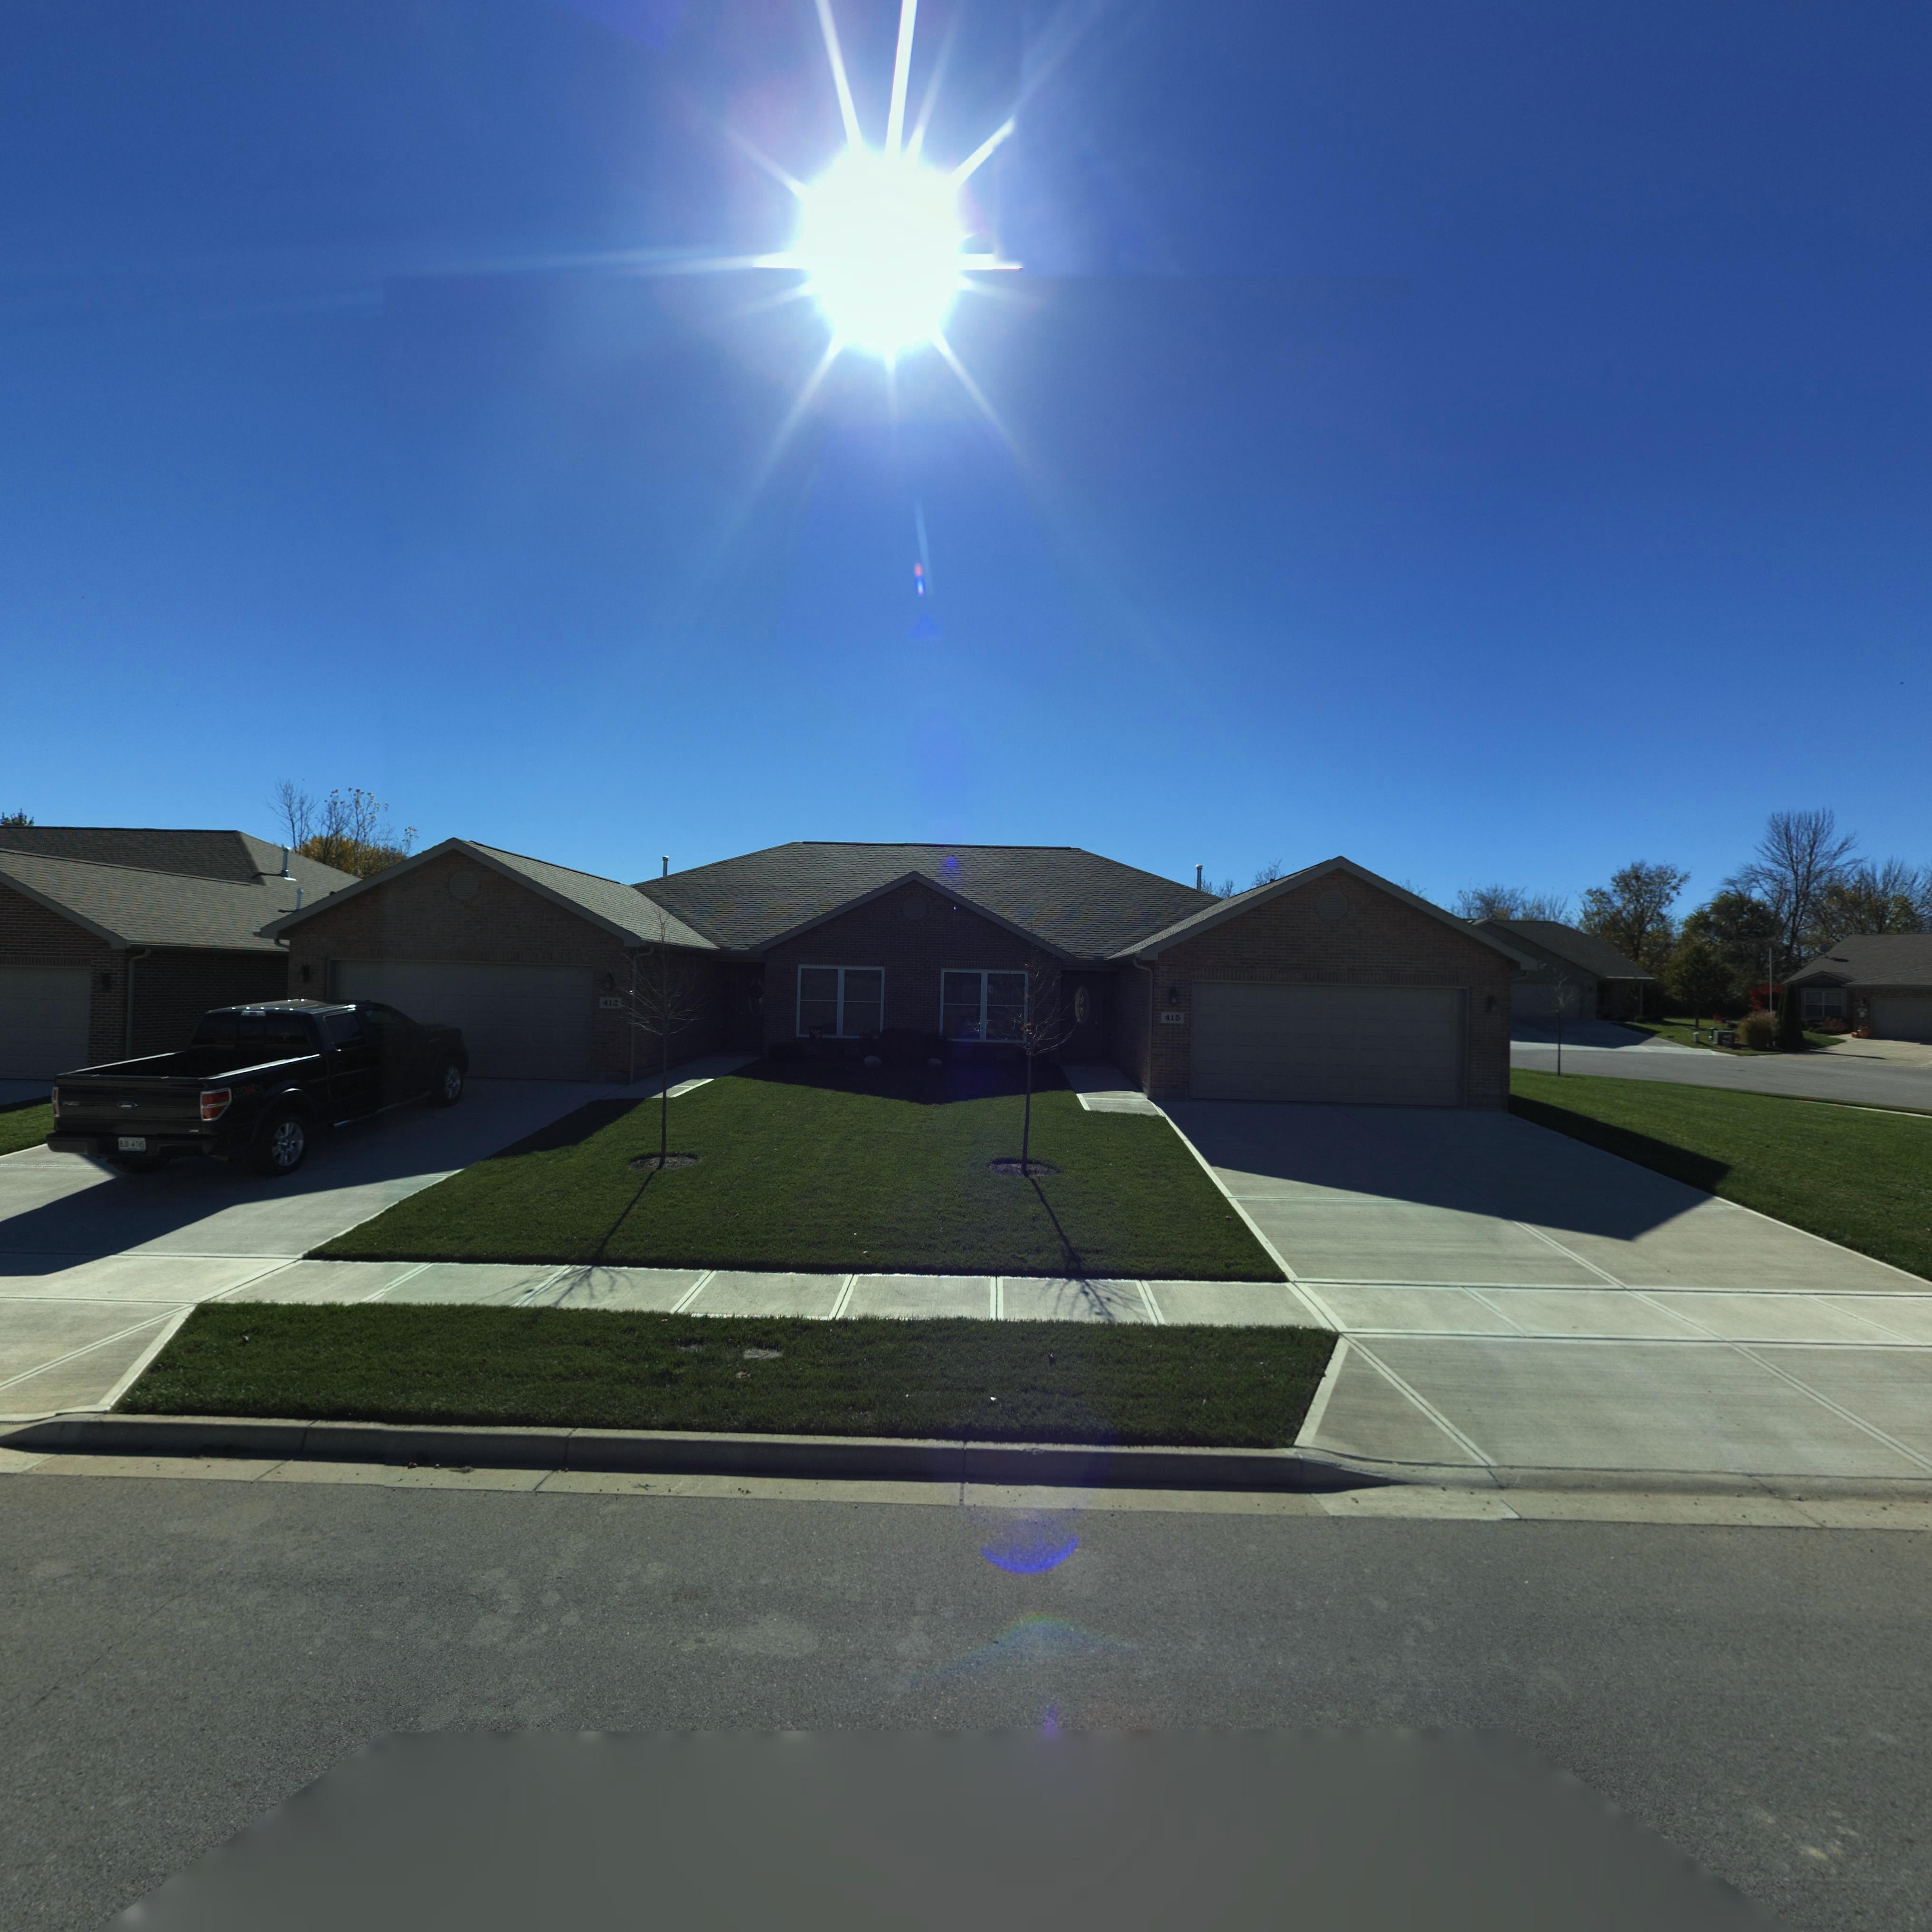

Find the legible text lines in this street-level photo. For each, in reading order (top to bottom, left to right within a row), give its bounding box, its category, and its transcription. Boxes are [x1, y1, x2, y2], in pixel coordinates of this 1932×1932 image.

[602, 999, 619, 1007] StreetNumber: 412
[1164, 1014, 1181, 1022] StreetNumber: 415